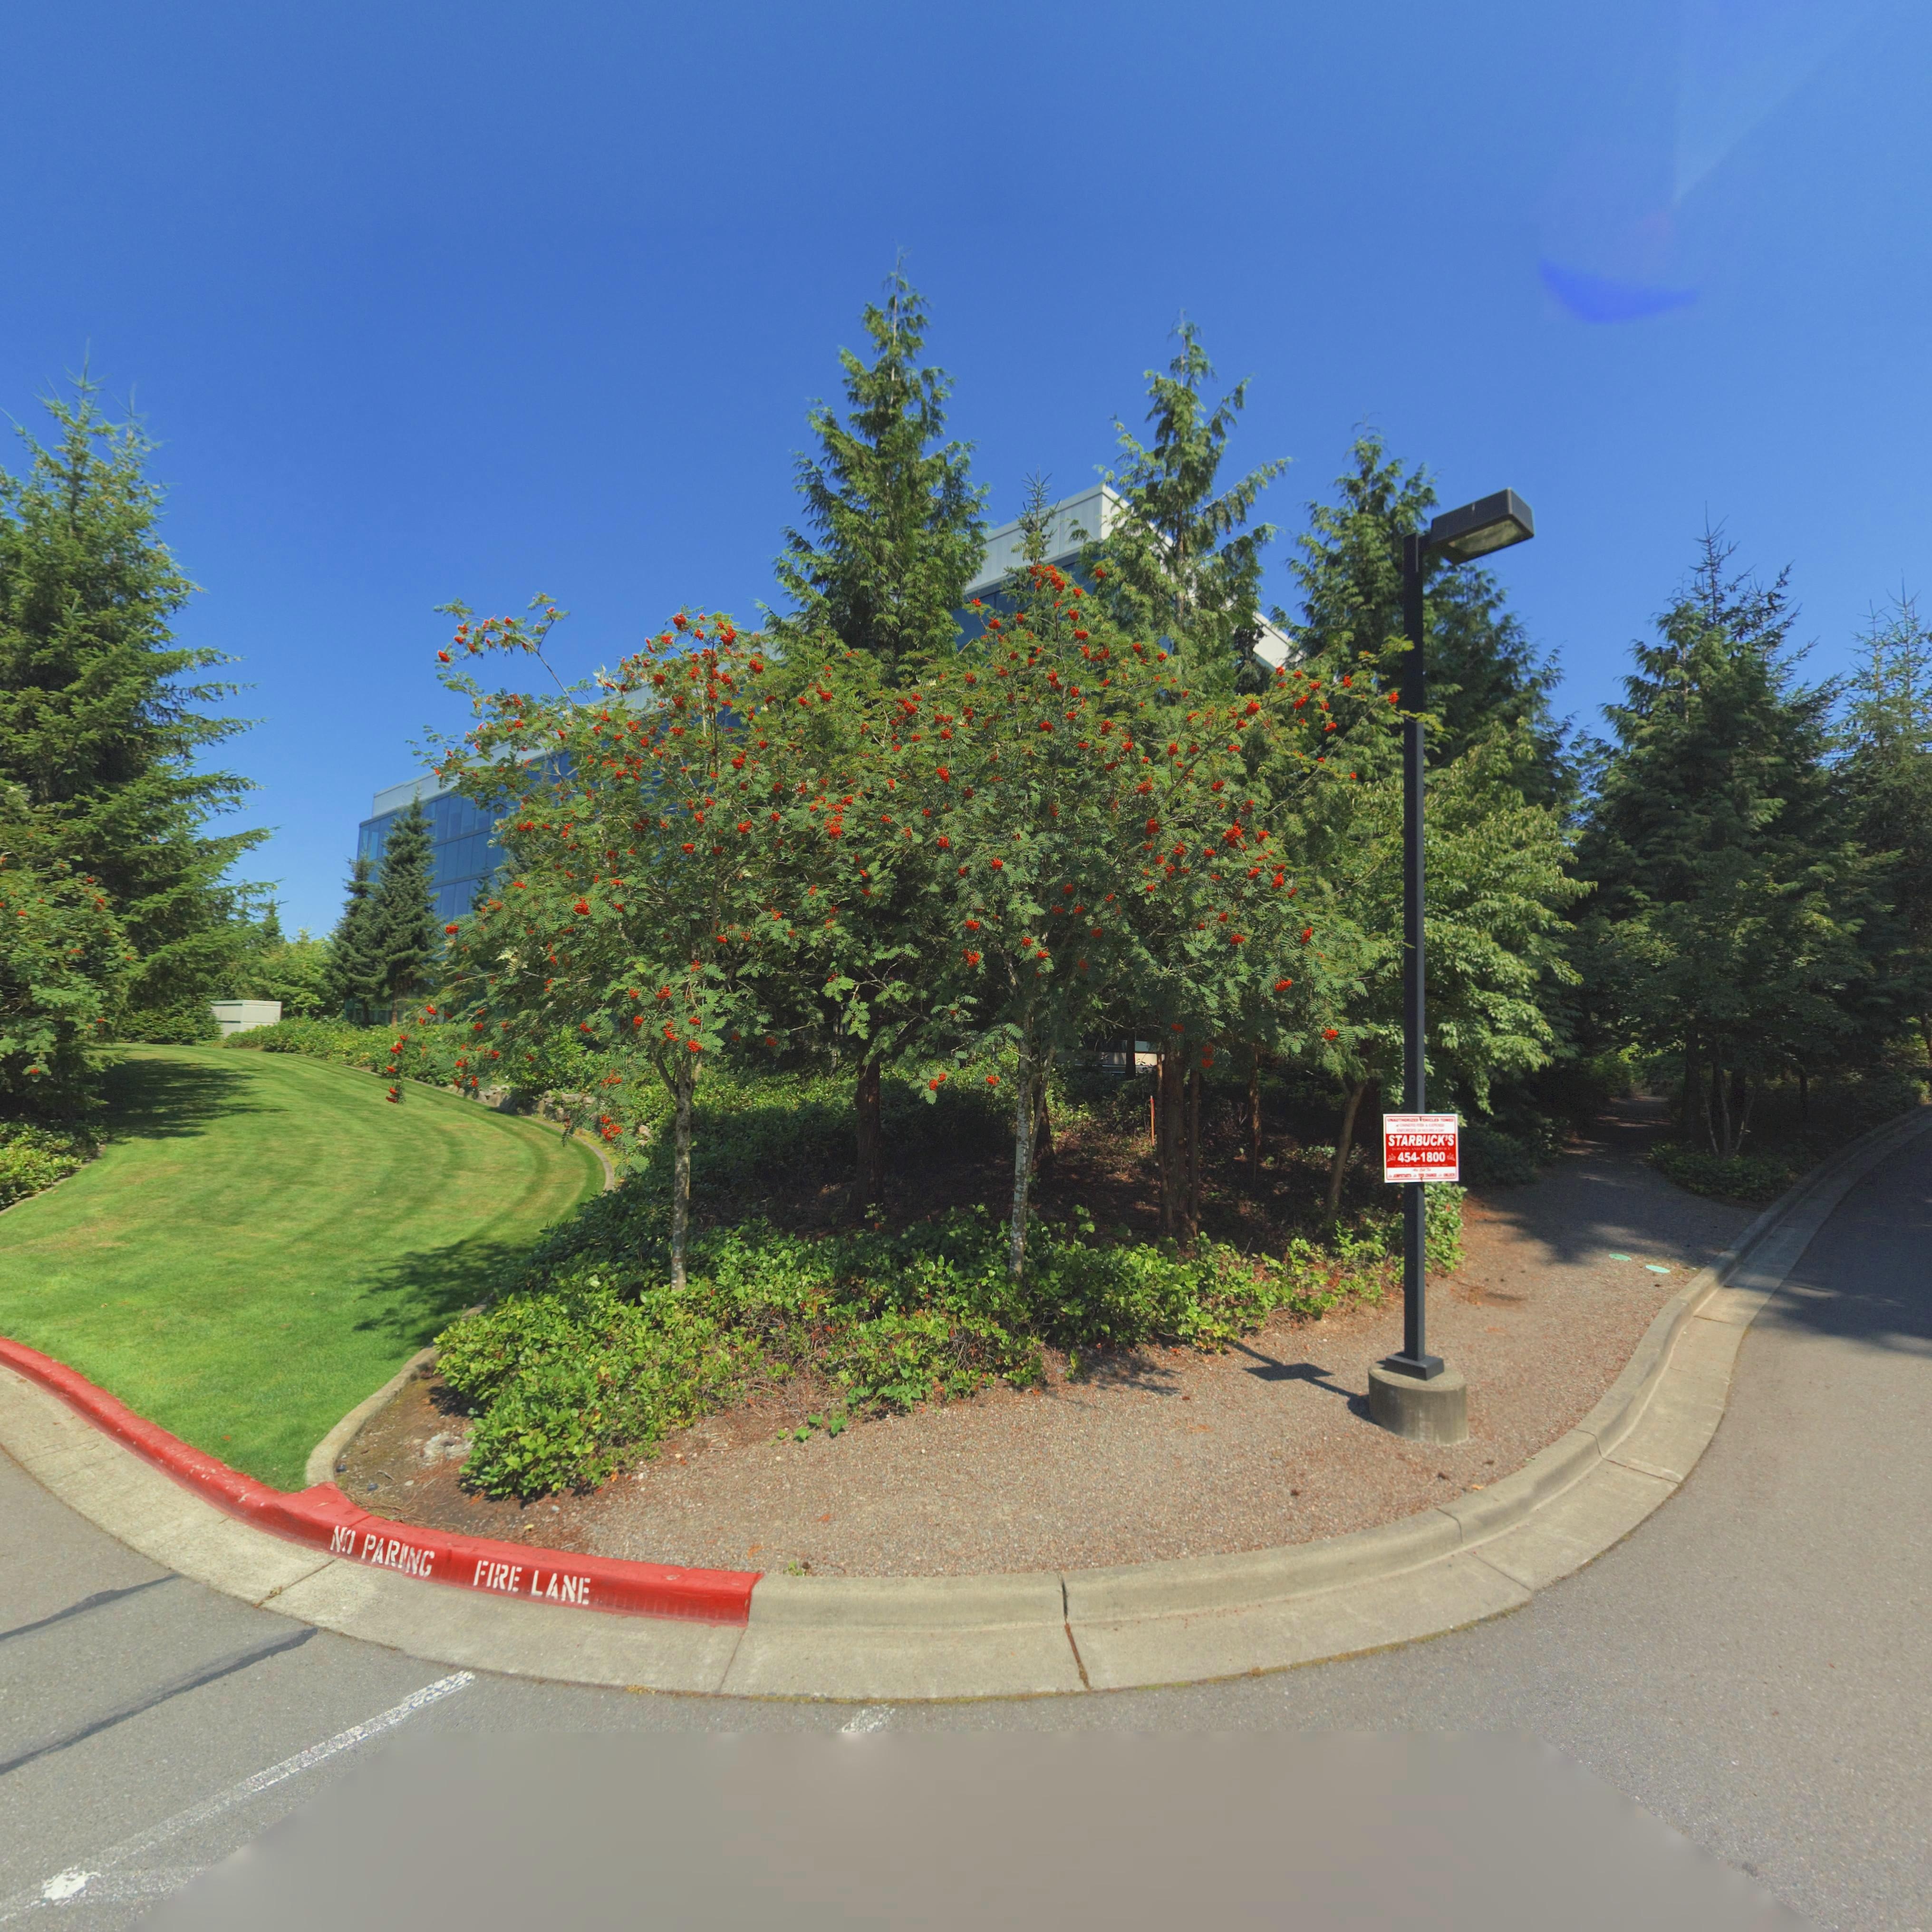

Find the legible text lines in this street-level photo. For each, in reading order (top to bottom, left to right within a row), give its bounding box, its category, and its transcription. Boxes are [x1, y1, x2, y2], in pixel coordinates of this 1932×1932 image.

[1387, 1134, 1454, 1147] BusinessName: STARBUCK'S